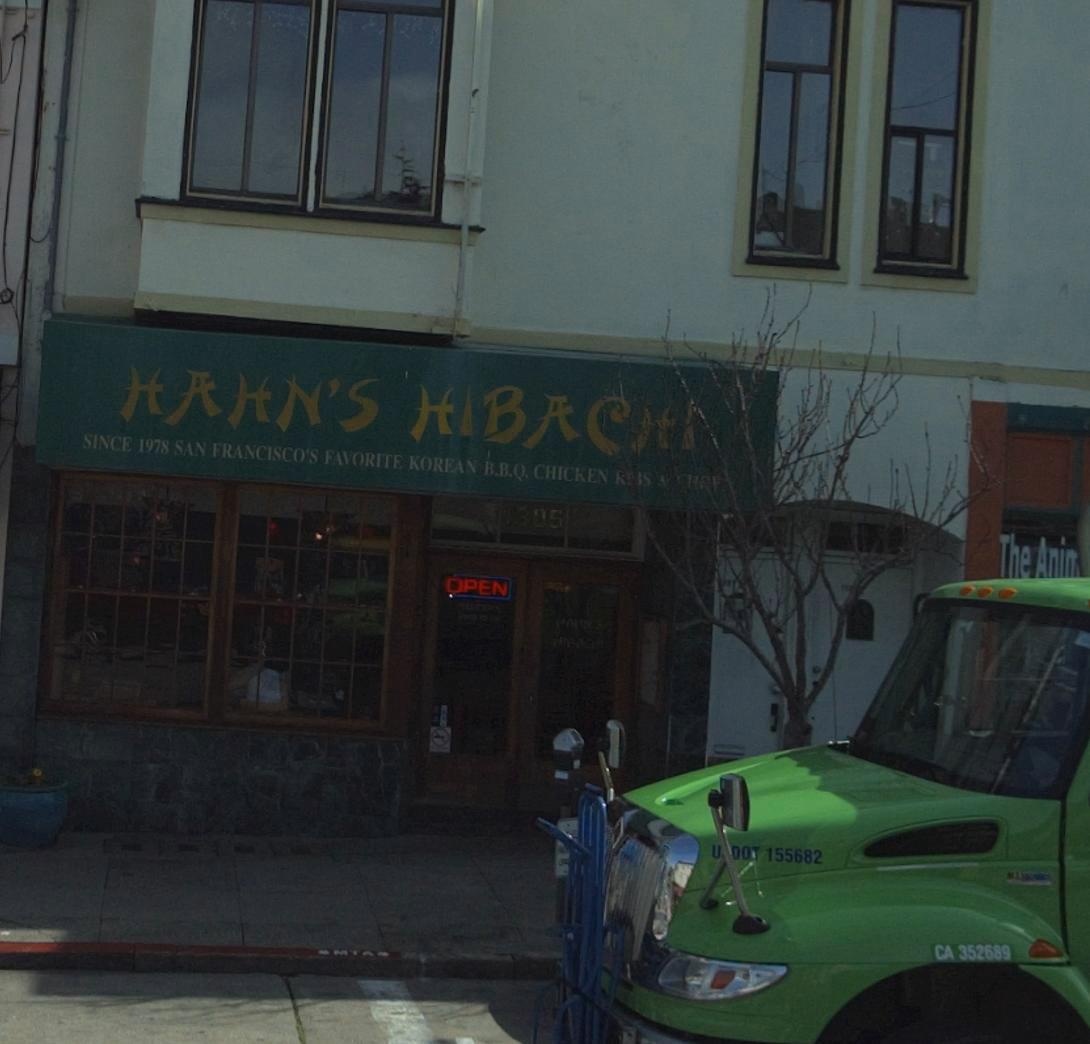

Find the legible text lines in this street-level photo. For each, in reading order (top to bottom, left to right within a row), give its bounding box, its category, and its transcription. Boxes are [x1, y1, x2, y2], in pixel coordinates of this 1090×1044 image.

[115, 360, 702, 459] BusinessName: HAHN'S HIBAC**
[80, 431, 727, 495] None: SINCE 1978 SAN FRACISCO'S FAVORITE KOREAN B.B.Q. CHICKEN R**S * ****
[502, 505, 563, 530] StreetNumber: 1305
[997, 533, 1082, 581] None: The Ani*
[443, 575, 510, 598] None: OPEN
[709, 842, 825, 868] None: U*DOT 155682
[315, 948, 391, 959] None: *MTA*
[931, 943, 1014, 962] None: CA 352689